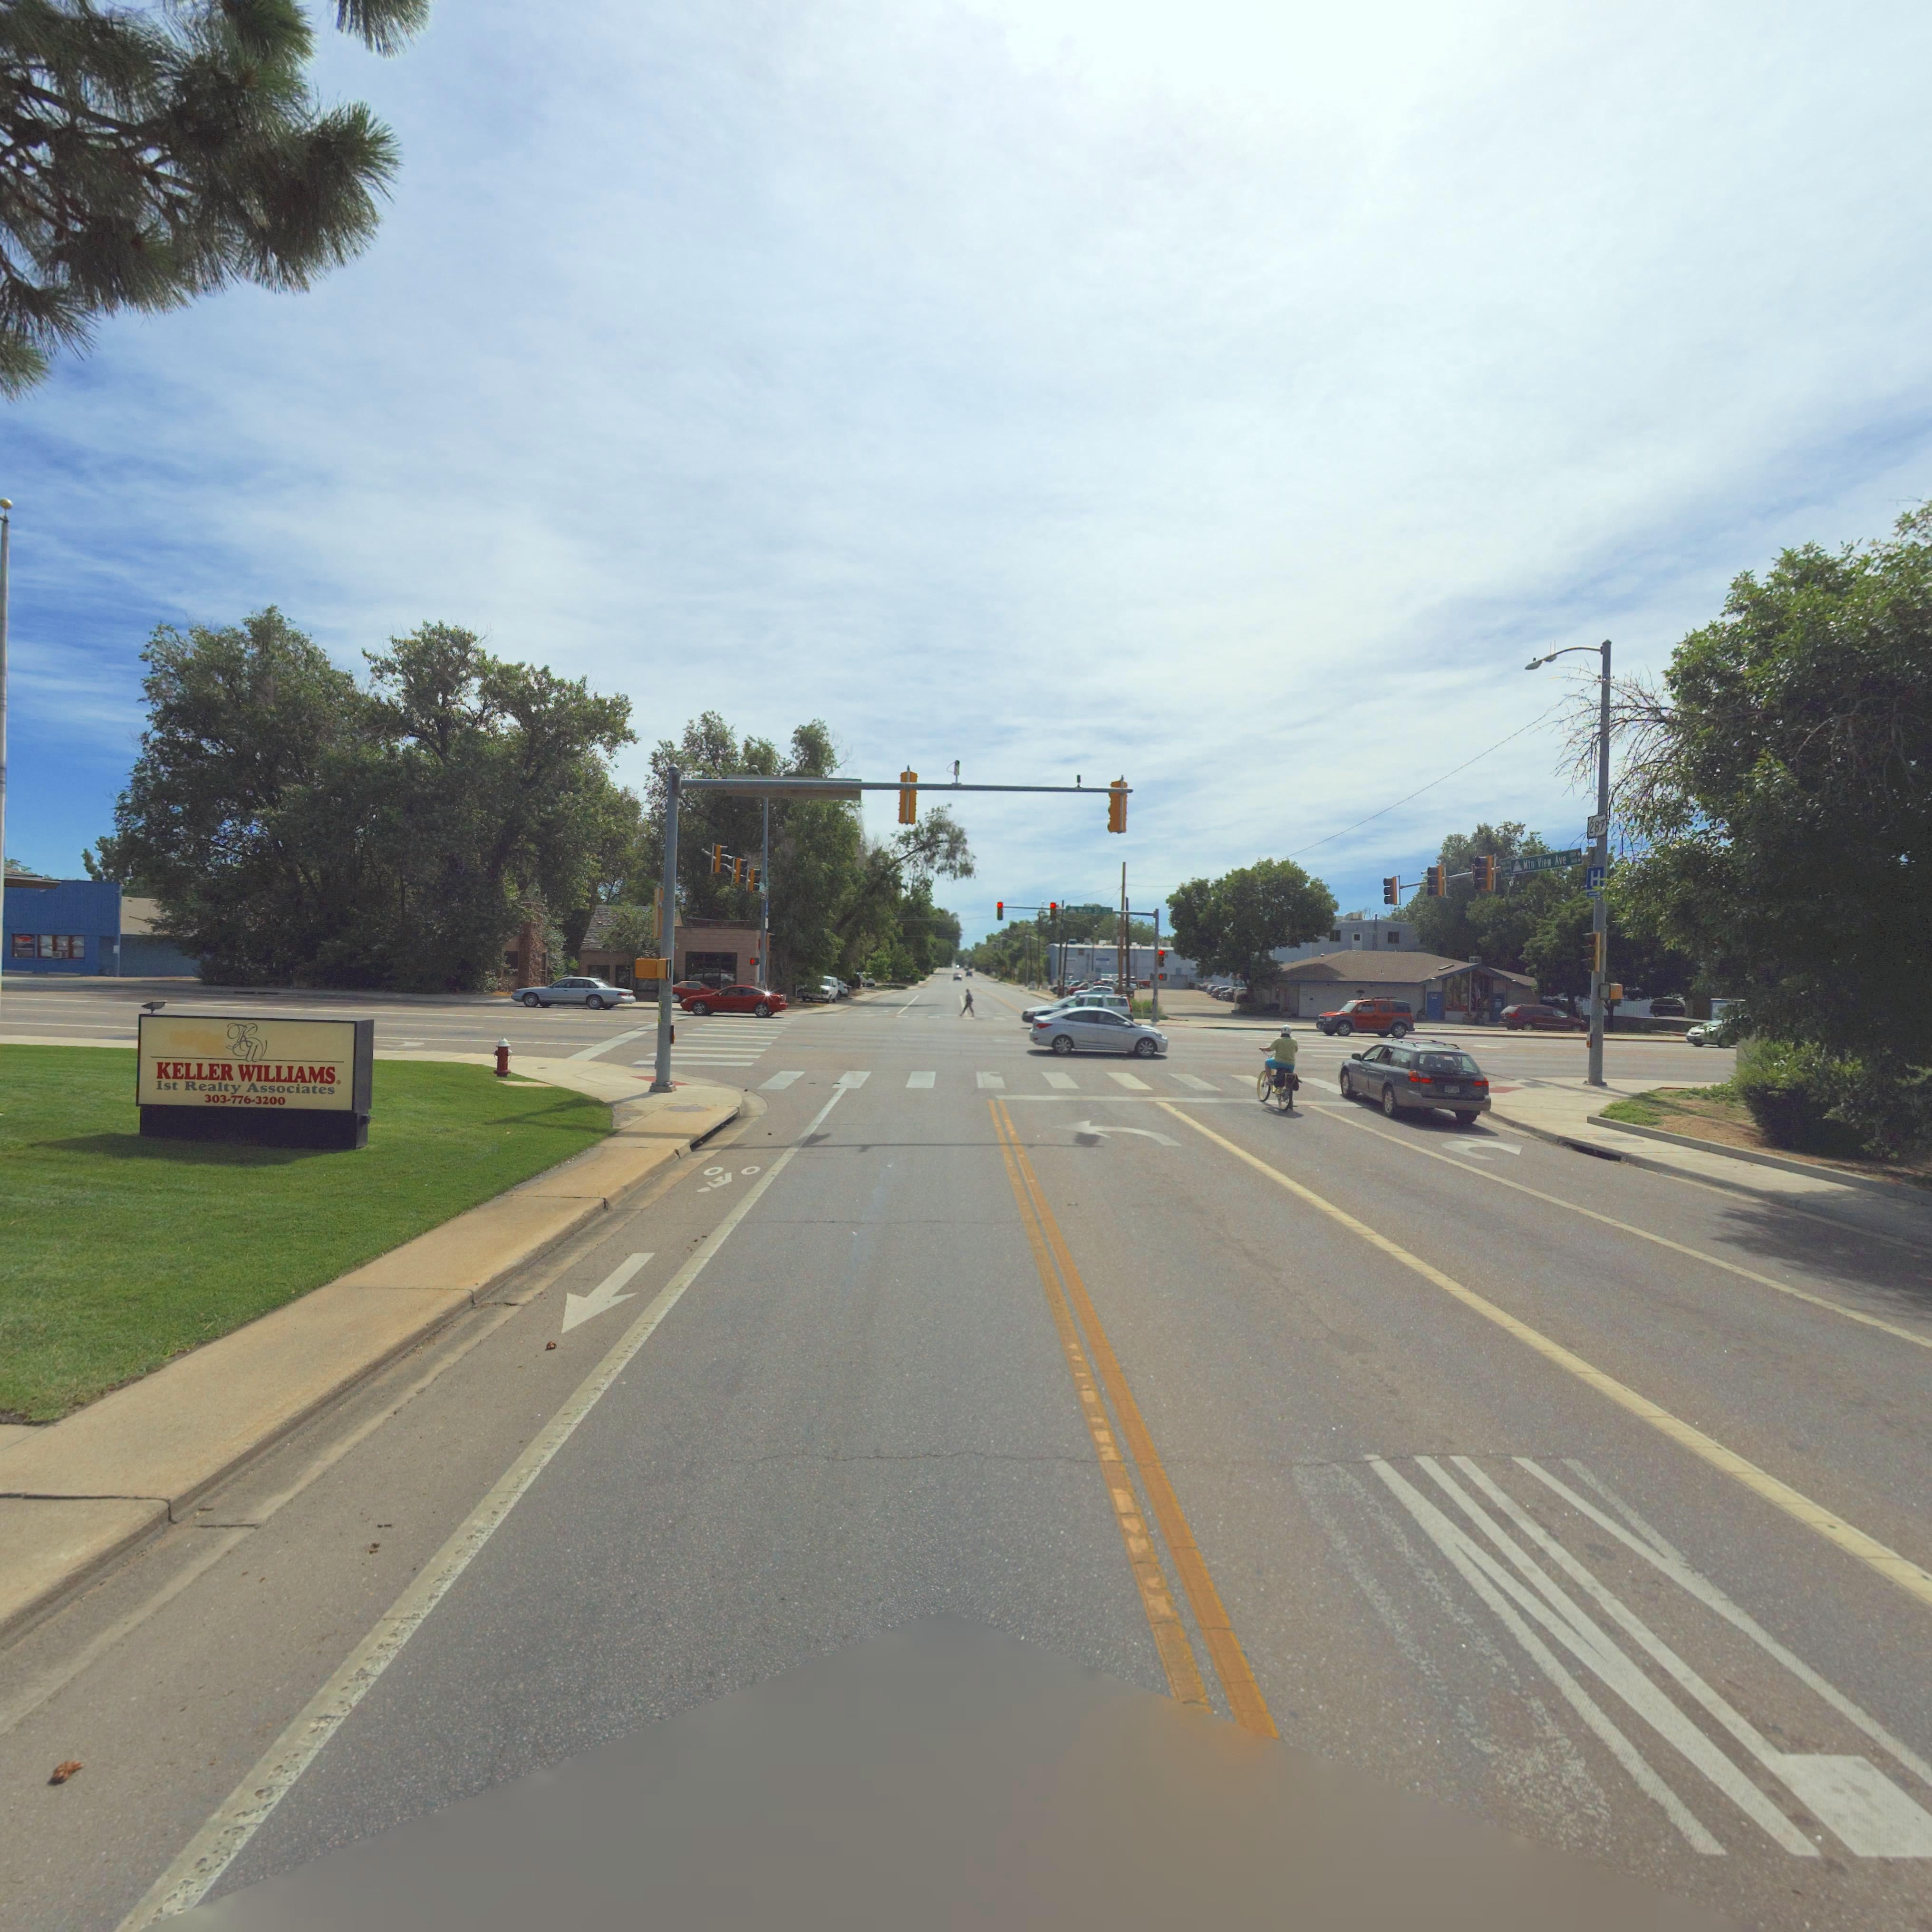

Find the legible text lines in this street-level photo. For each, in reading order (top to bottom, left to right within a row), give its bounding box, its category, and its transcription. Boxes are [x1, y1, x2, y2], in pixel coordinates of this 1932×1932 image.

[1522, 854, 1567, 870] StreetName: *tn Vie* Ave
[1078, 907, 1101, 914] StreetName: **** S*
[156, 1062, 336, 1084] BusinessName: KELLER WILLIAMS
[155, 1080, 335, 1095] BusinessName: 1st Realty Associates